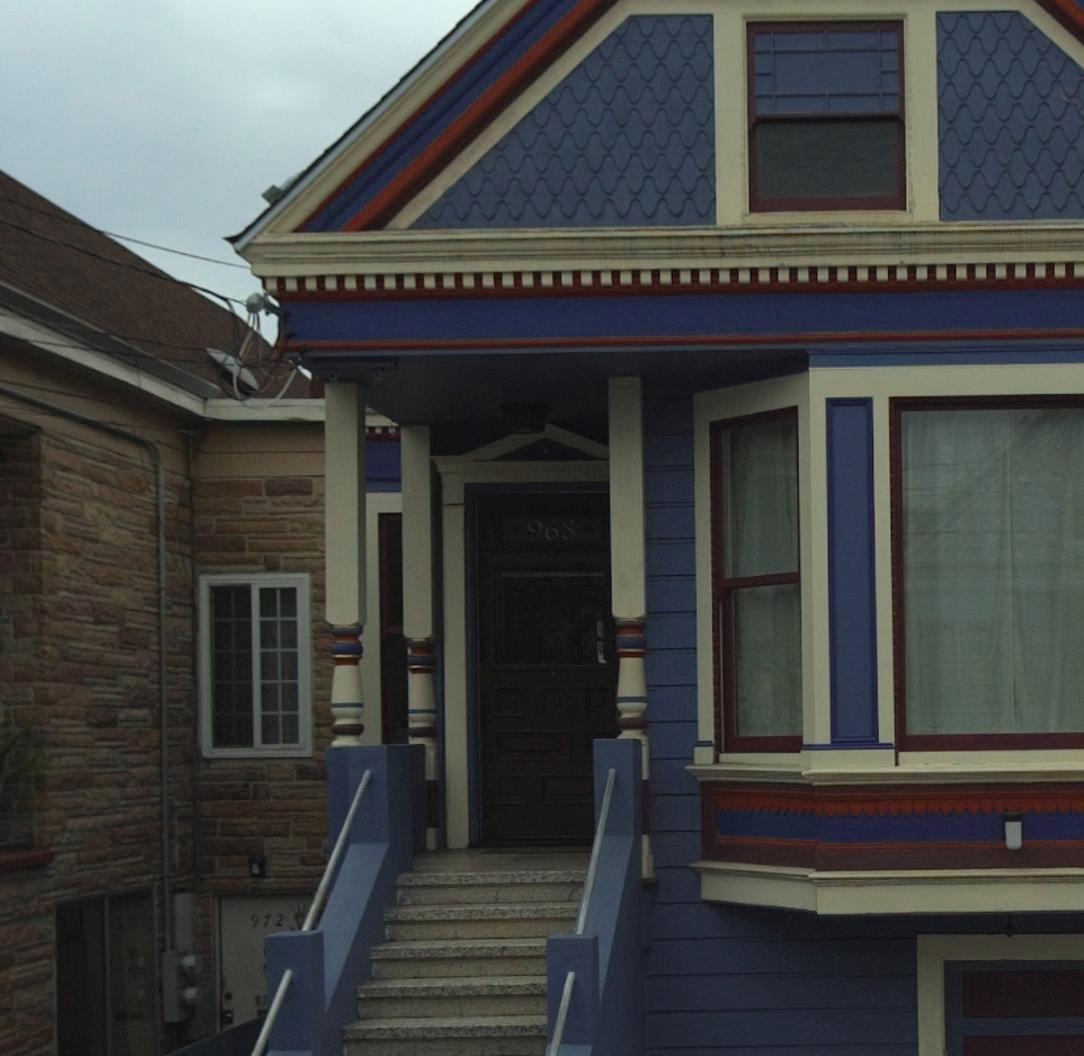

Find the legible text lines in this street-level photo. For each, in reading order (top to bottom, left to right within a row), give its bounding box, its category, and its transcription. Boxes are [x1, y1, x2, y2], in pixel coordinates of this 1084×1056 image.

[525, 517, 579, 543] StreetNumber: 968
[250, 912, 286, 929] StreetNumber: 972